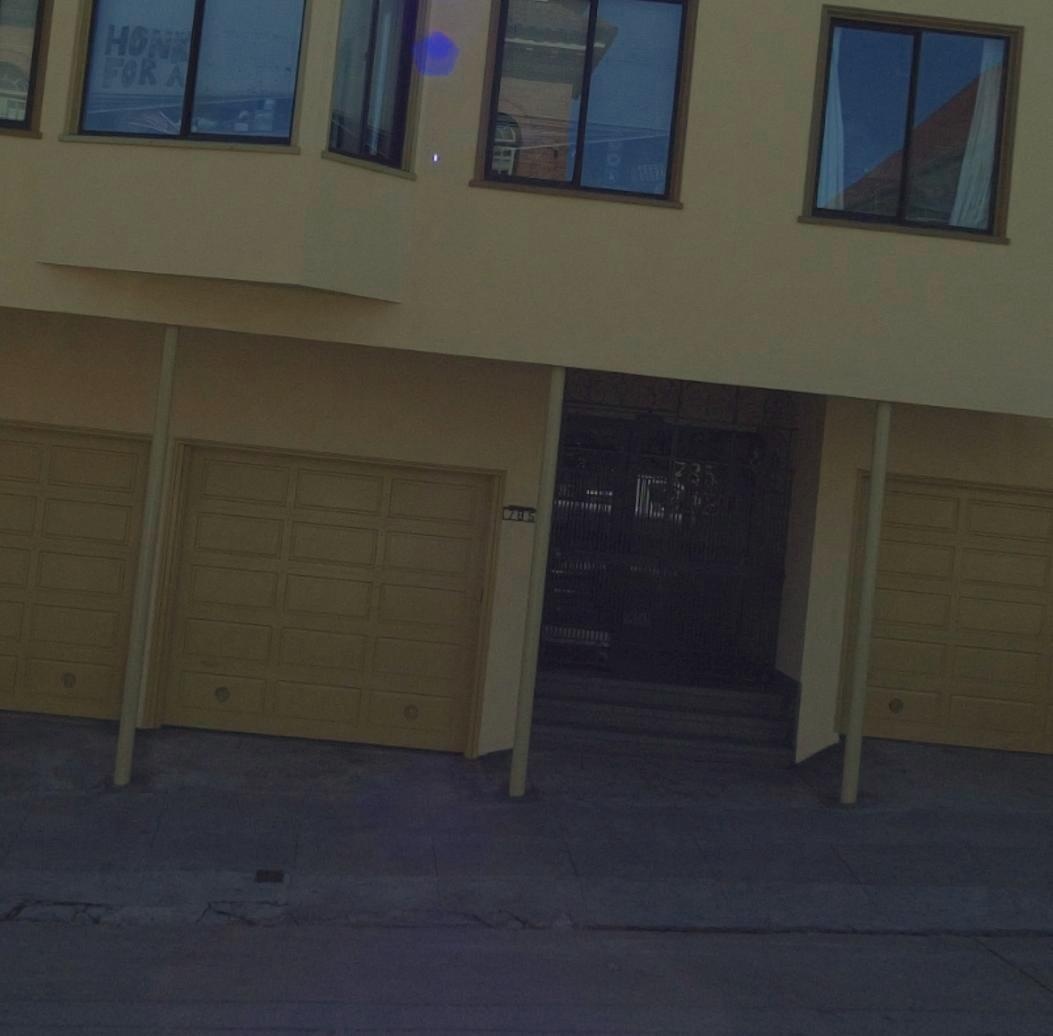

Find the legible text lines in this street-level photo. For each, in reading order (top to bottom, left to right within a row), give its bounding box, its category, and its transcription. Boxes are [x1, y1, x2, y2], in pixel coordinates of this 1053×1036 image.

[103, 22, 192, 65] None: HON*
[98, 55, 186, 92] None: FOR A
[672, 458, 718, 488] StreetNumber: 7**
[506, 507, 536, 524] StreetNumber: 785